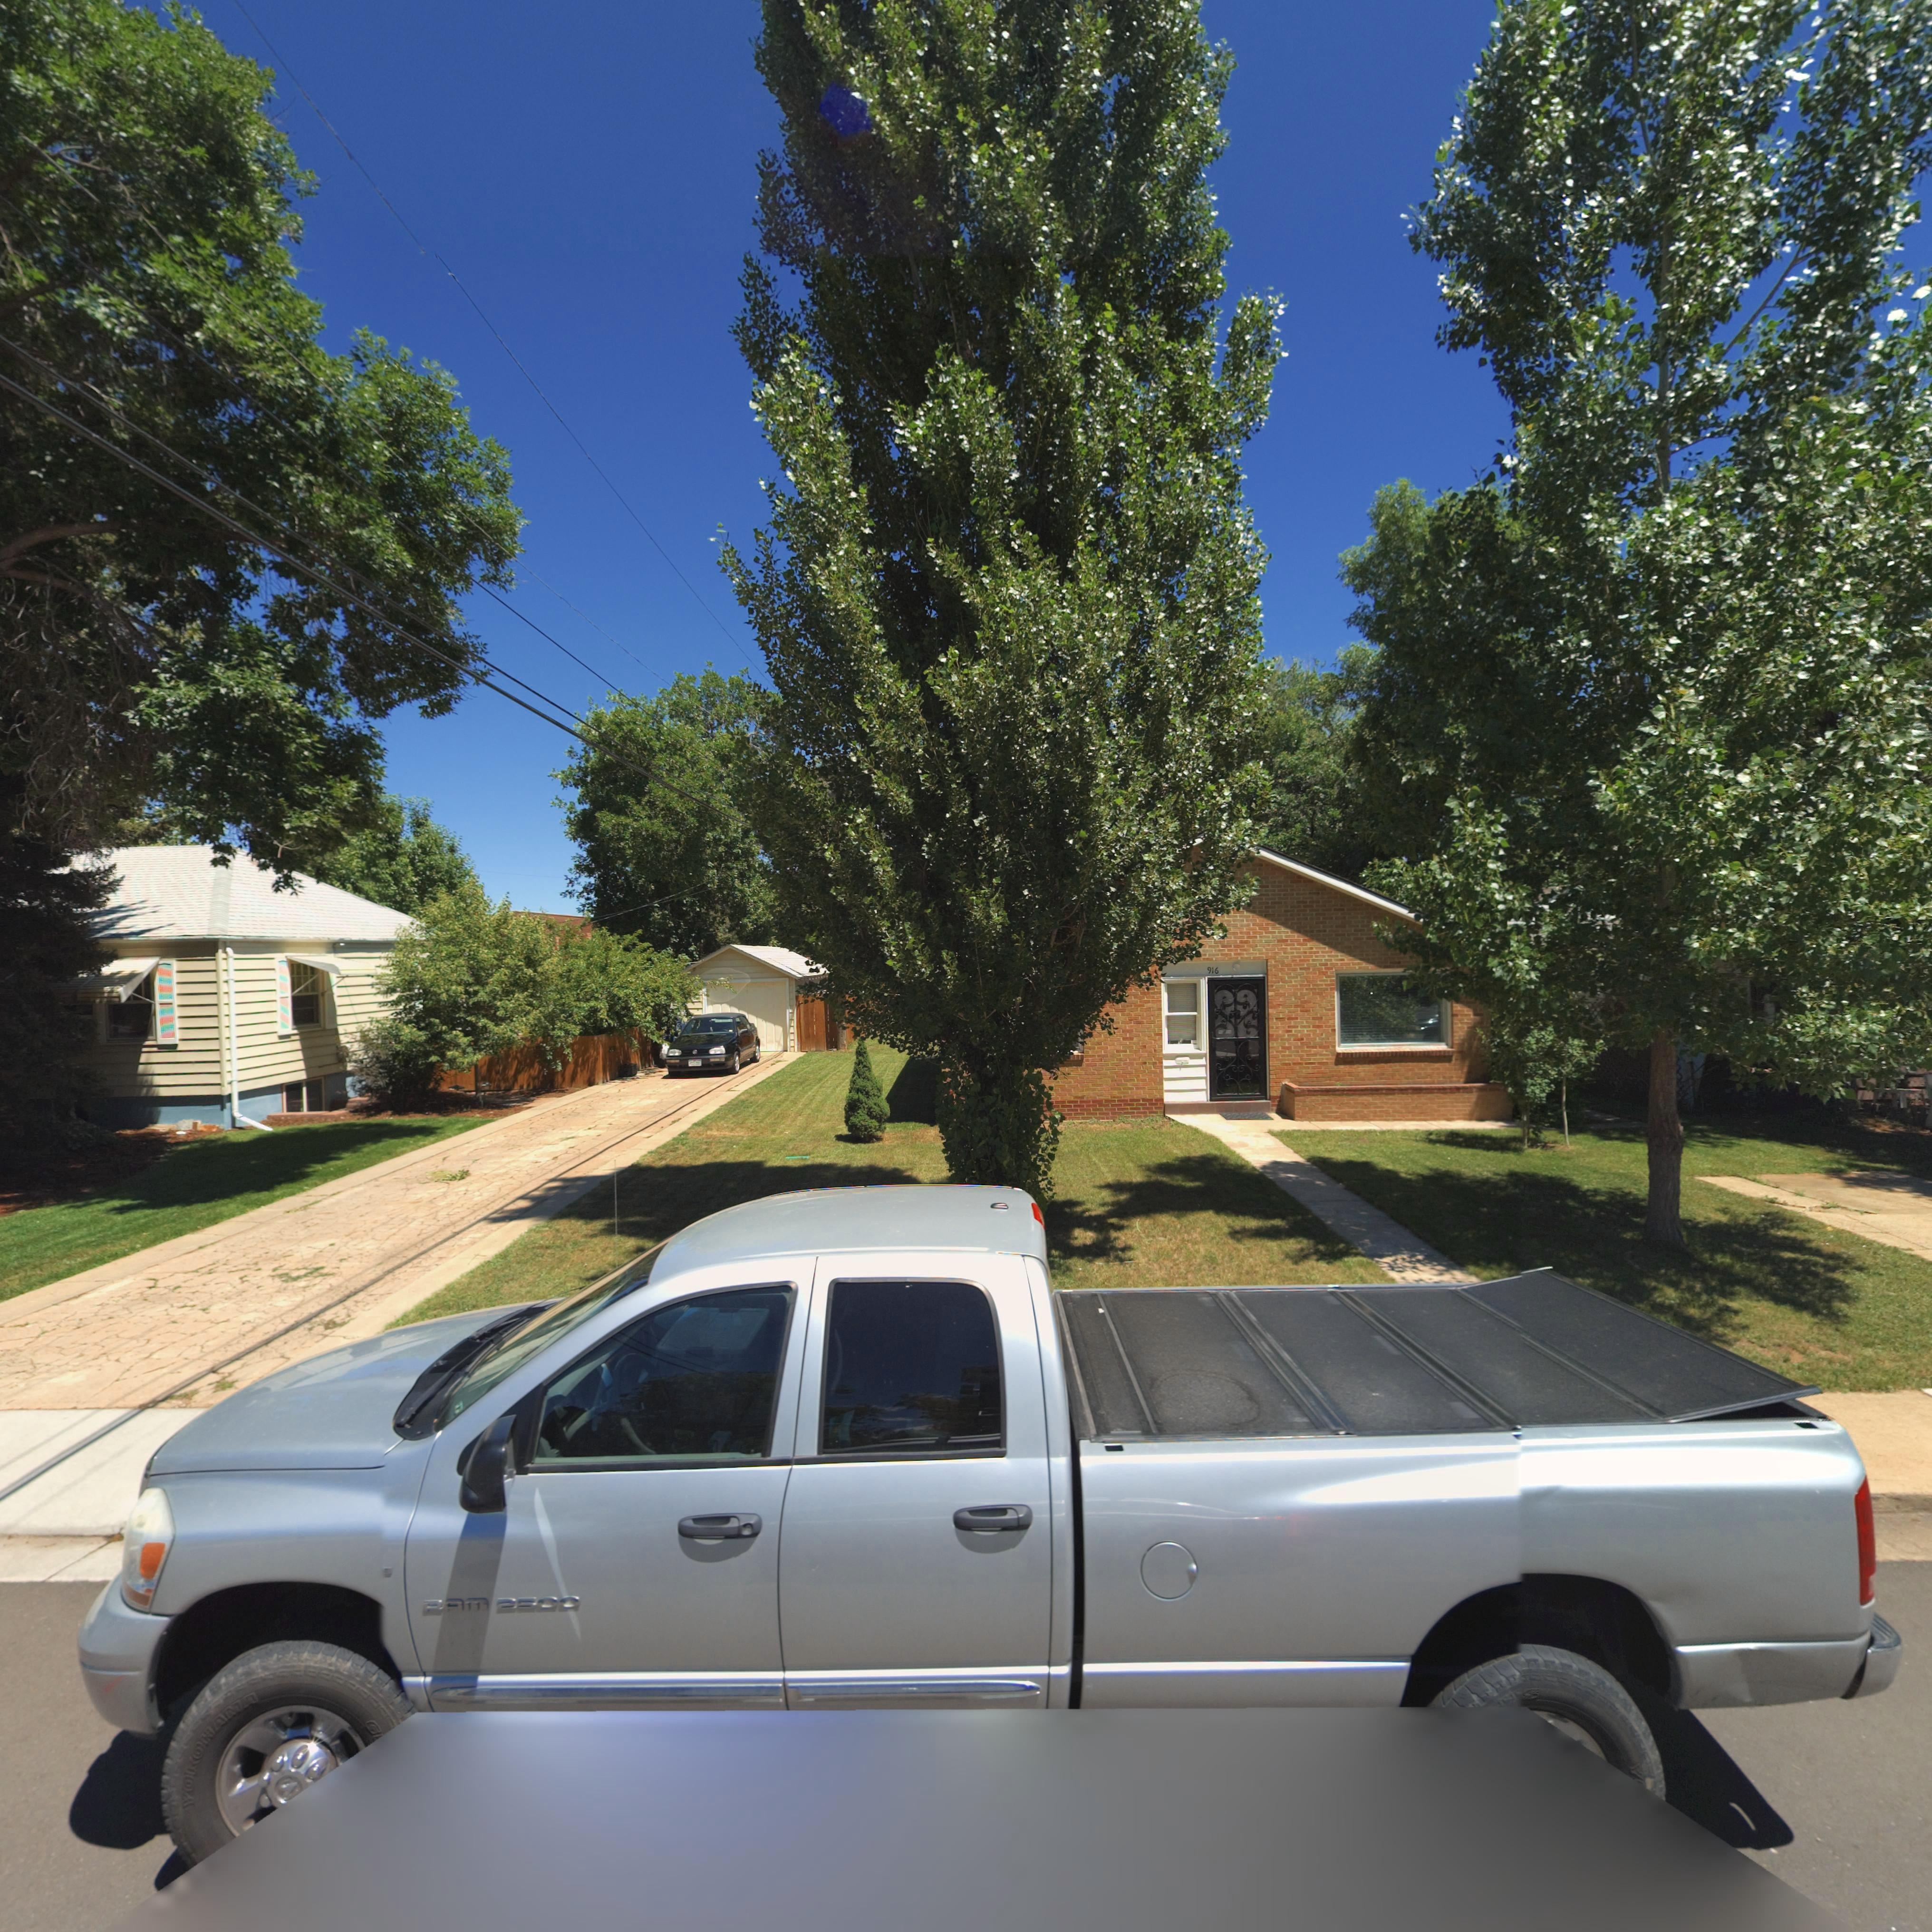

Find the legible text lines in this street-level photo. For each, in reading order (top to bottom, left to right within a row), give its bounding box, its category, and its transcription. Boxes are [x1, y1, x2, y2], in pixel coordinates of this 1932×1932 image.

[1207, 966, 1218, 974] StreetNumber: 916